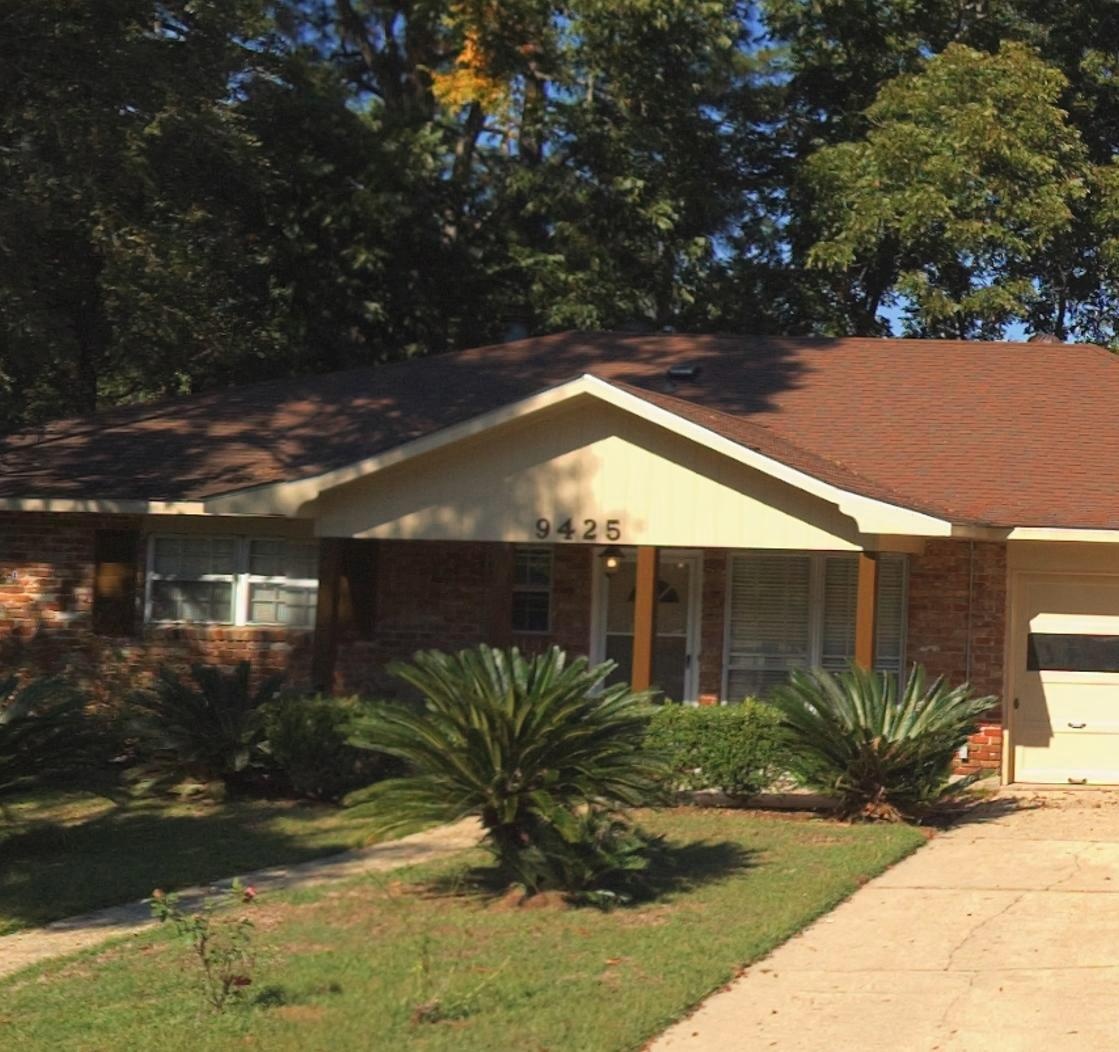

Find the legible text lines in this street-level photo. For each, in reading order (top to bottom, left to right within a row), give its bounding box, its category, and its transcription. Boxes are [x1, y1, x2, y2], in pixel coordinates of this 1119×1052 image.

[534, 517, 621, 542] StreetNumber: 9425